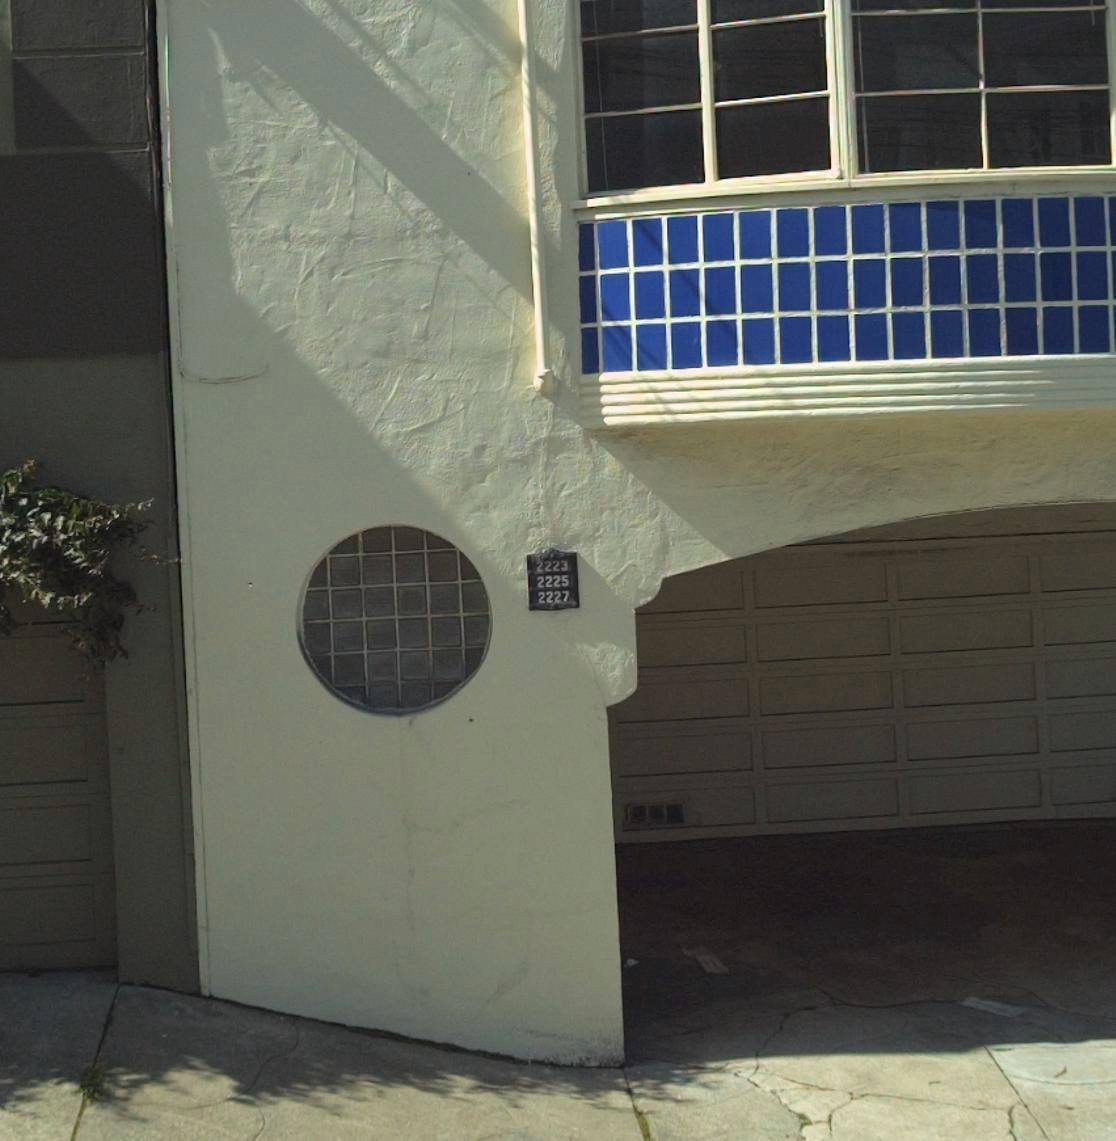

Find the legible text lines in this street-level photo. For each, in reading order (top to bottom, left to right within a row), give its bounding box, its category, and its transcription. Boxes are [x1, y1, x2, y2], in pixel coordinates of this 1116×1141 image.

[534, 558, 570, 574] StreetNumber: 2223
[536, 574, 571, 589] StreetNumber: 2225
[537, 589, 571, 605] StreetNumber: 2227